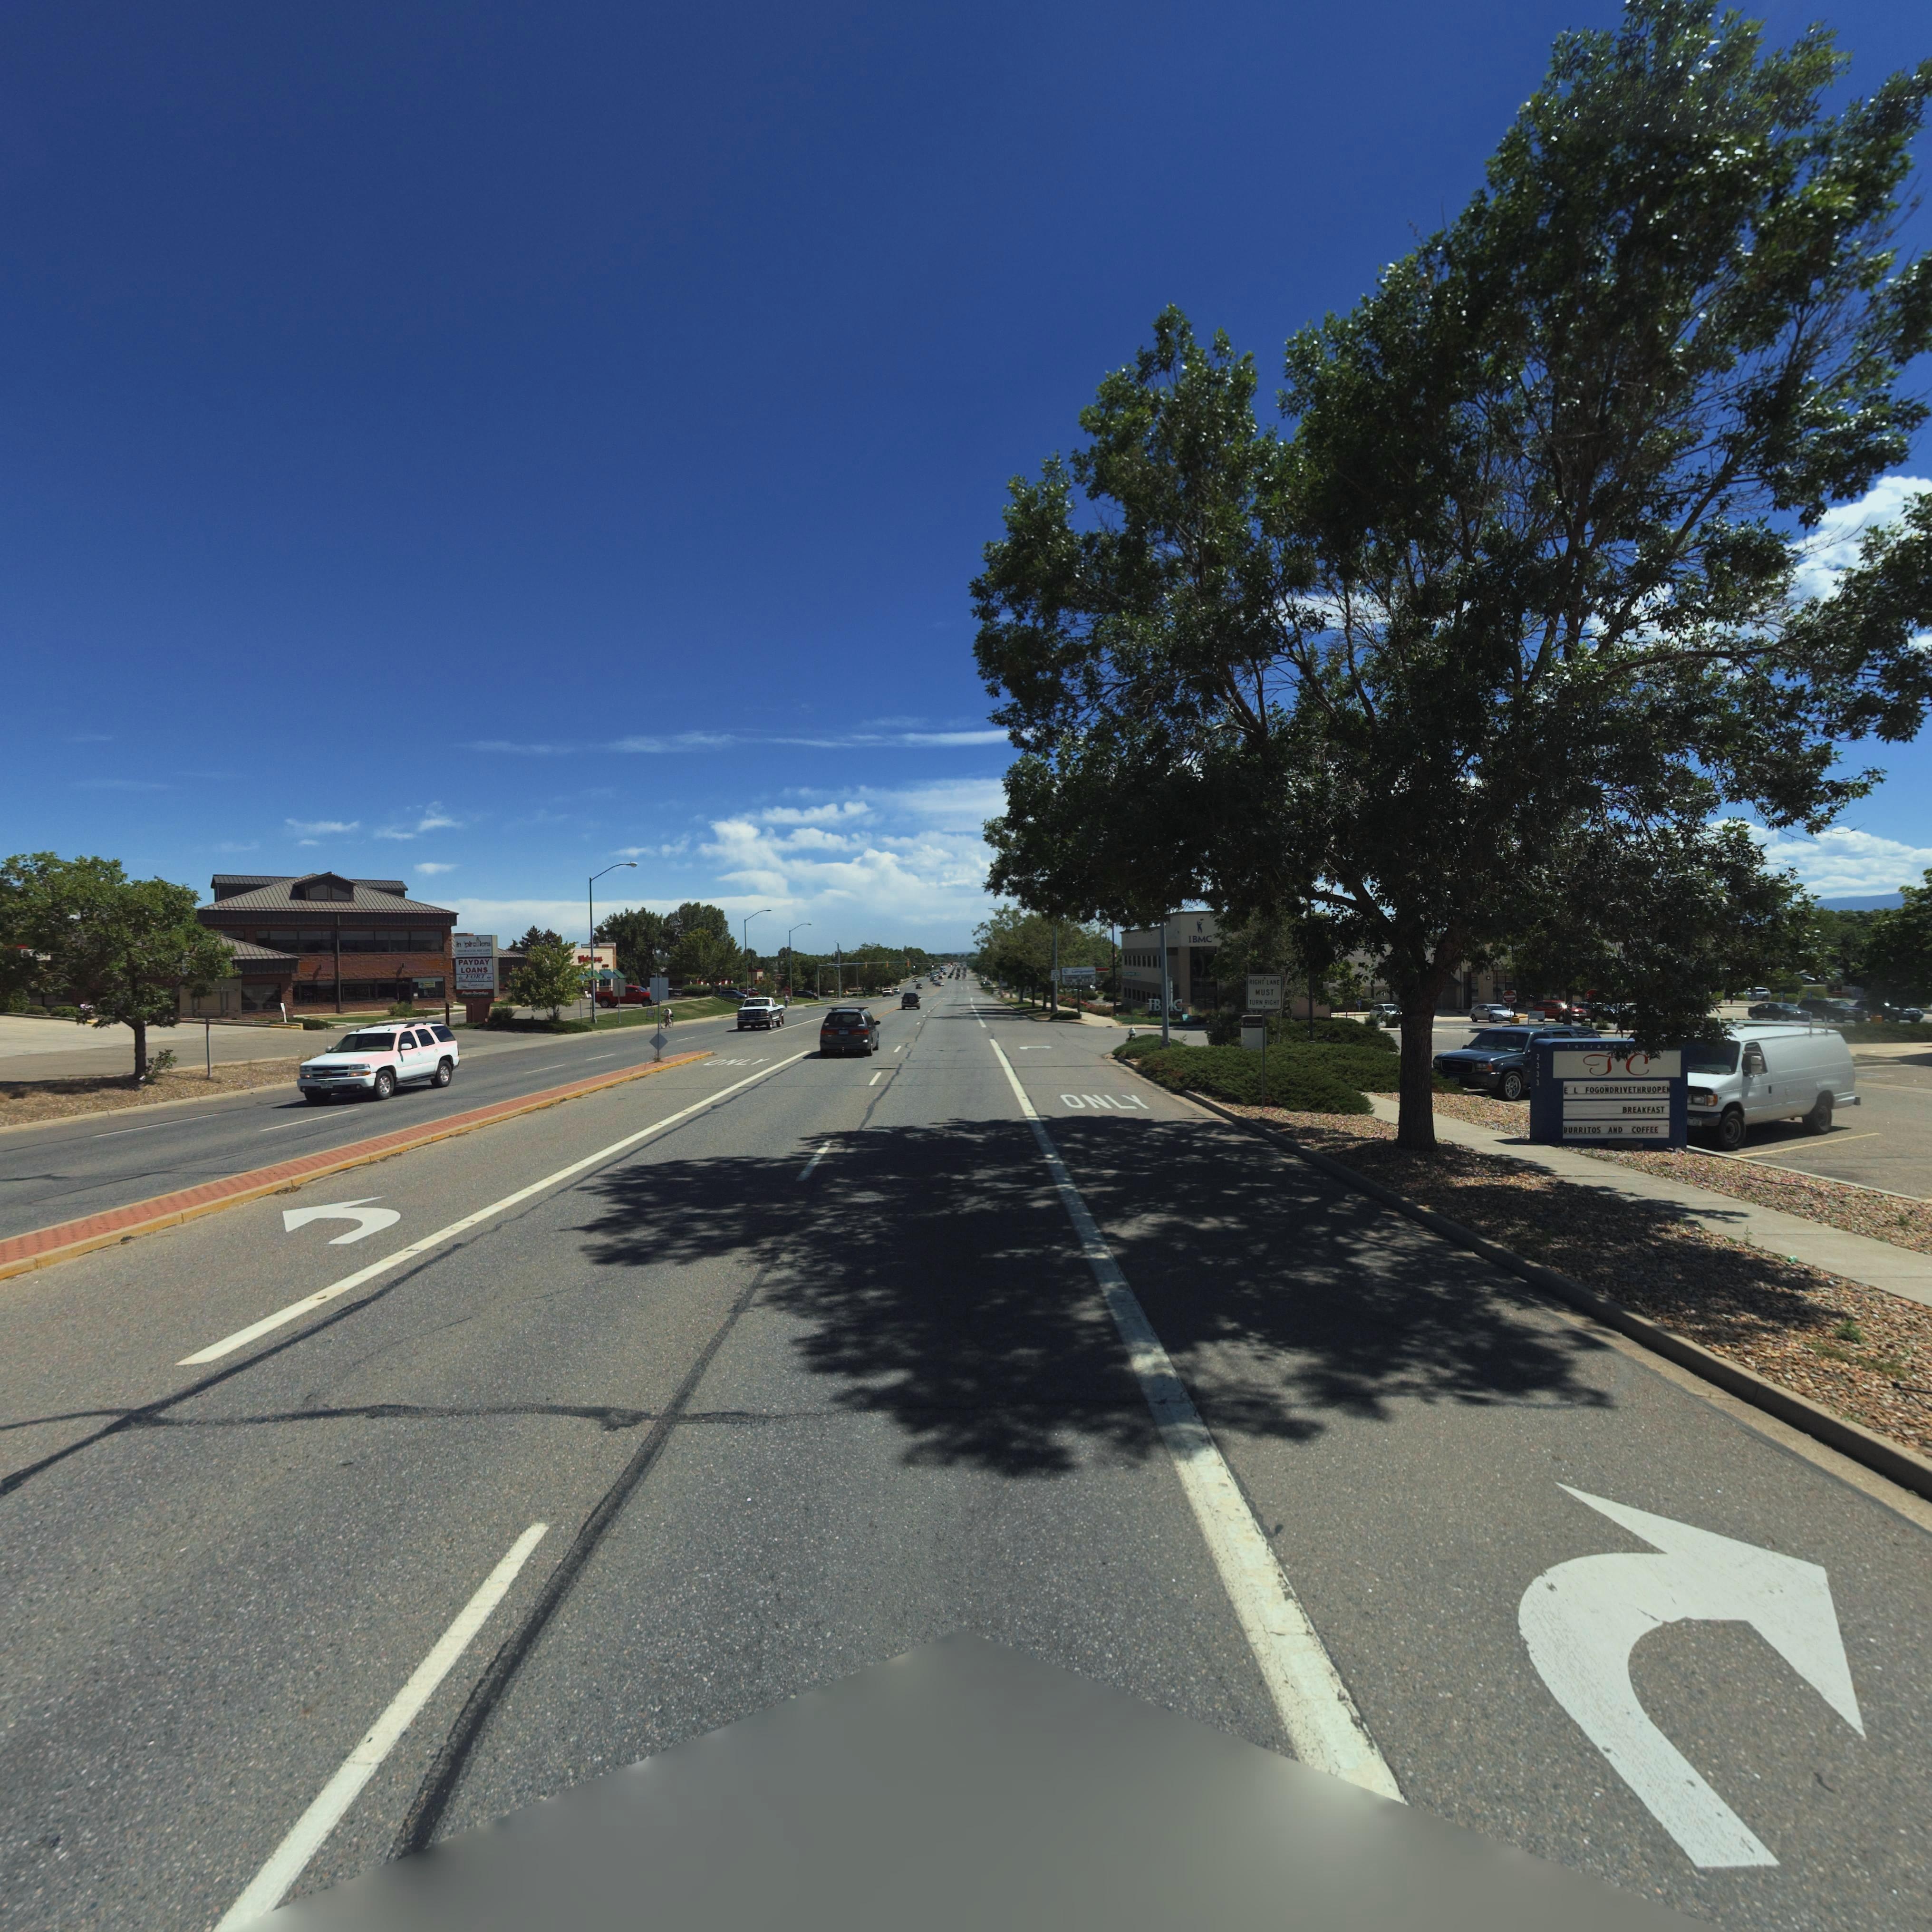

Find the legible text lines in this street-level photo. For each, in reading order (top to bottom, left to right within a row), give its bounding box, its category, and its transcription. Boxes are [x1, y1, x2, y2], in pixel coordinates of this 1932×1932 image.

[456, 936, 491, 948] BusinessName: in*pir*tions
[1188, 934, 1212, 943] BusinessName: IBMC
[461, 966, 488, 974] BusinessName: LOANS
[464, 974, 485, 979] BusinessName: FORT
[1148, 997, 1183, 1012] BusinessName: IBMC
[1535, 1053, 1540, 1086] StreetNumber: 2333